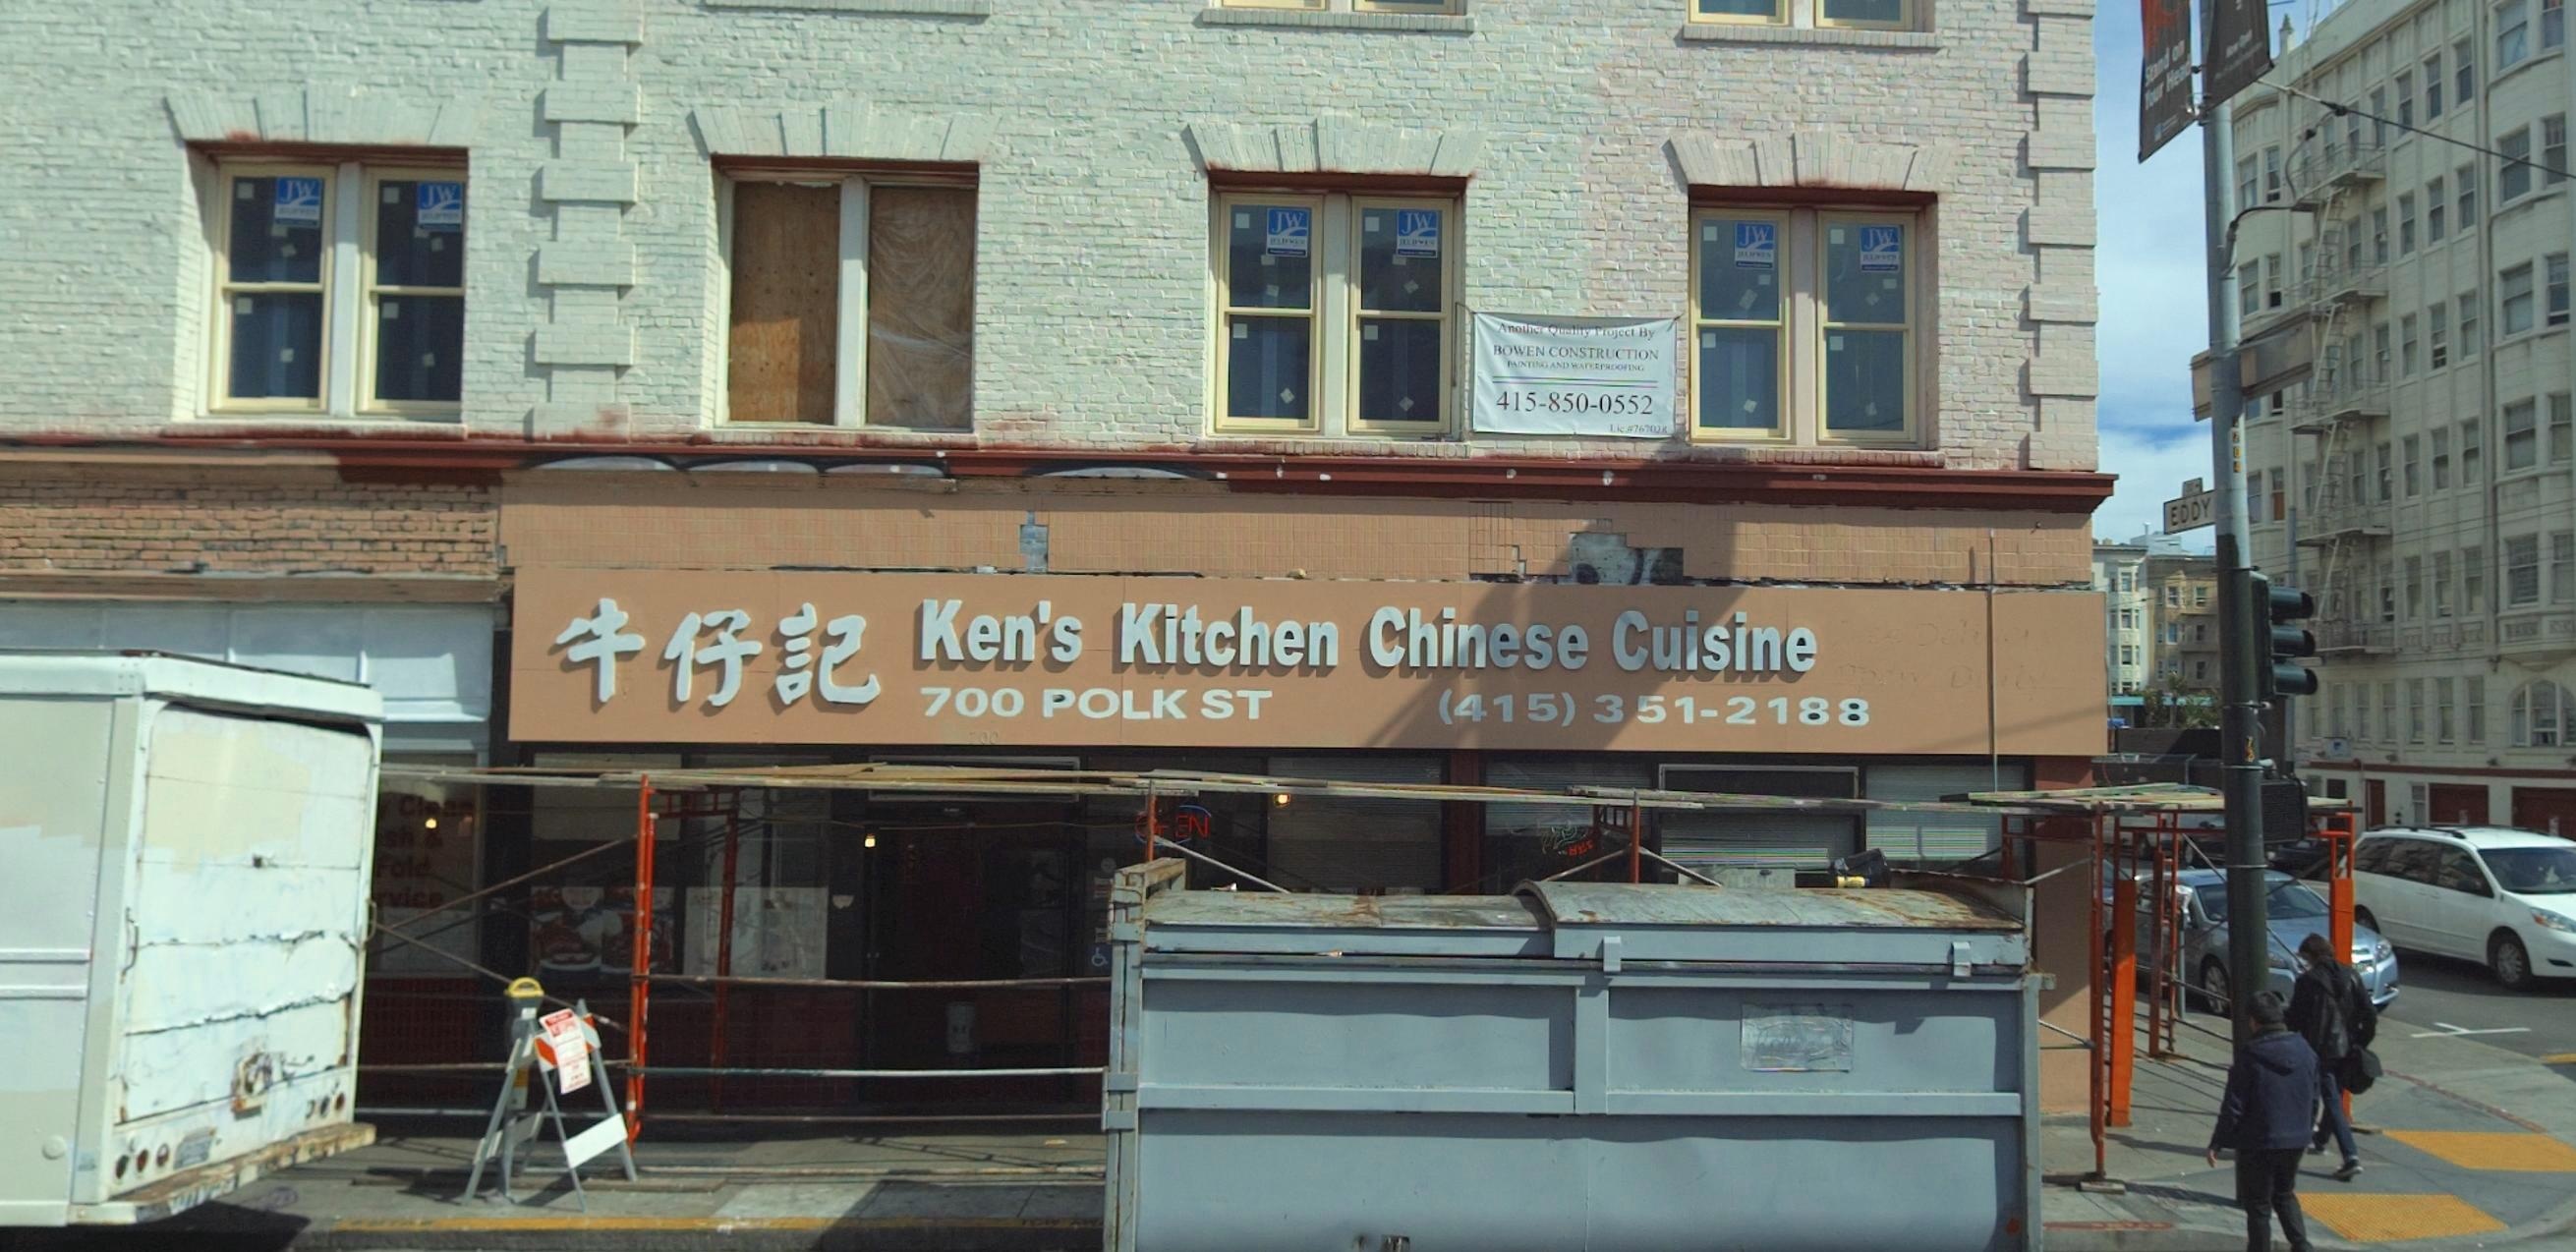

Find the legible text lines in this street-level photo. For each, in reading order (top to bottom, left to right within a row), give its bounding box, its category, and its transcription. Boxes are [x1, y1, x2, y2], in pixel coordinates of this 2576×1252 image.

[276, 177, 327, 205] None: JW
[415, 181, 461, 212] None: JW
[1264, 209, 1305, 237] None: JW
[1398, 210, 1434, 238] None: JW
[1736, 222, 1772, 251] None: JW
[1859, 225, 1899, 255] None: JW
[1491, 317, 1659, 343] None: Another Quality Project By
[1502, 357, 1647, 375] None: PAINTING & WATERPROOFING
[1489, 343, 1663, 362] None: BOWEN CONSTRUCTION
[1492, 387, 1657, 417] None: 415-850-0552
[1603, 420, 1673, 441] None: Lic#7674**8
[2230, 414, 2242, 475] None: *704
[2166, 491, 2216, 530] None: EDDY
[917, 596, 1818, 676] BusinessName: Ken's Kitchen Chinese Cuisine
[917, 680, 1034, 724] StreetNumber: 700
[1033, 682, 1279, 724] StreetName: POLK ST
[1433, 683, 1875, 734] None: (415)351-2188
[963, 727, 1007, 748] StreetNumber: 700
[1172, 812, 1210, 842] None: EN